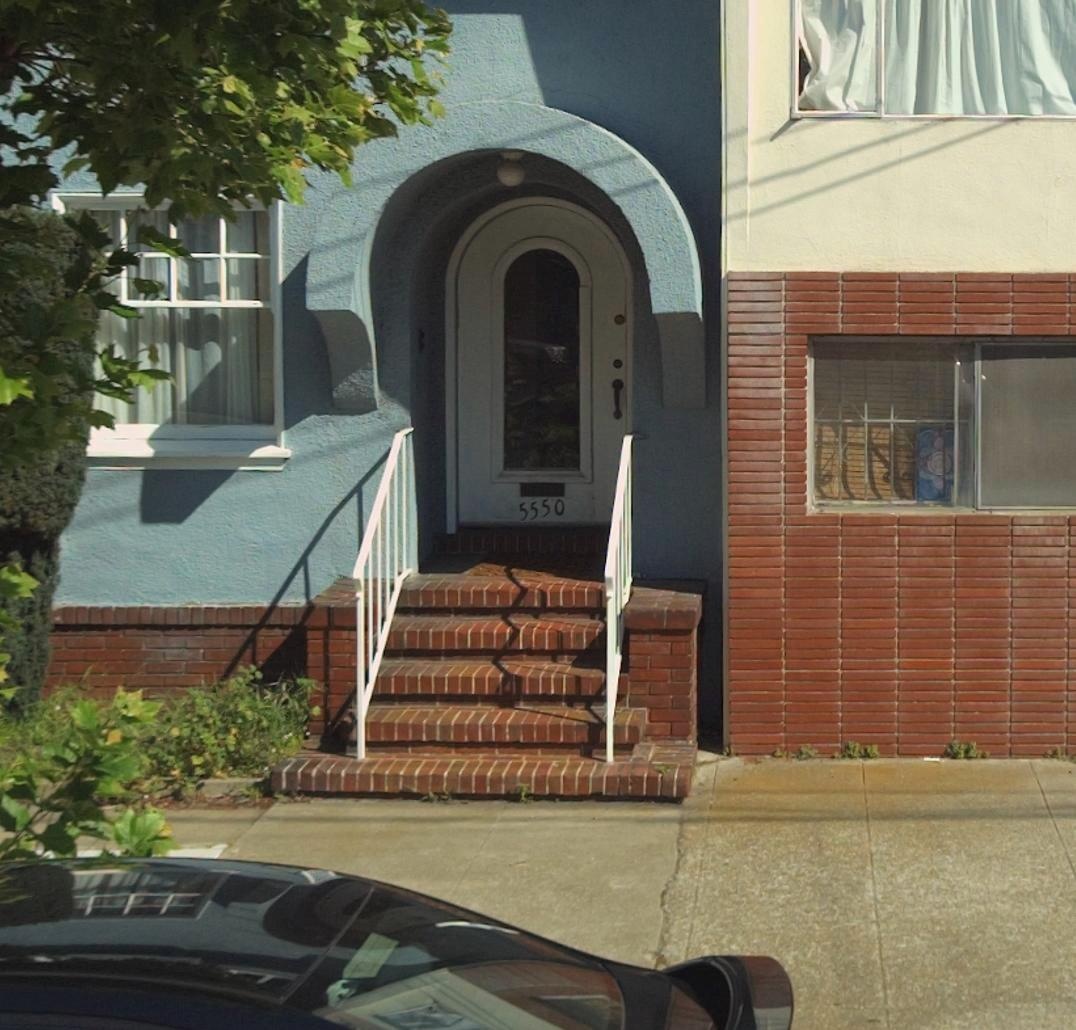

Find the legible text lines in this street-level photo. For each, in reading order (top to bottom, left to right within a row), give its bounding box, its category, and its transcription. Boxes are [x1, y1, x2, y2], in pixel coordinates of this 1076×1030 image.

[518, 494, 565, 523] StreetNumber: 5550